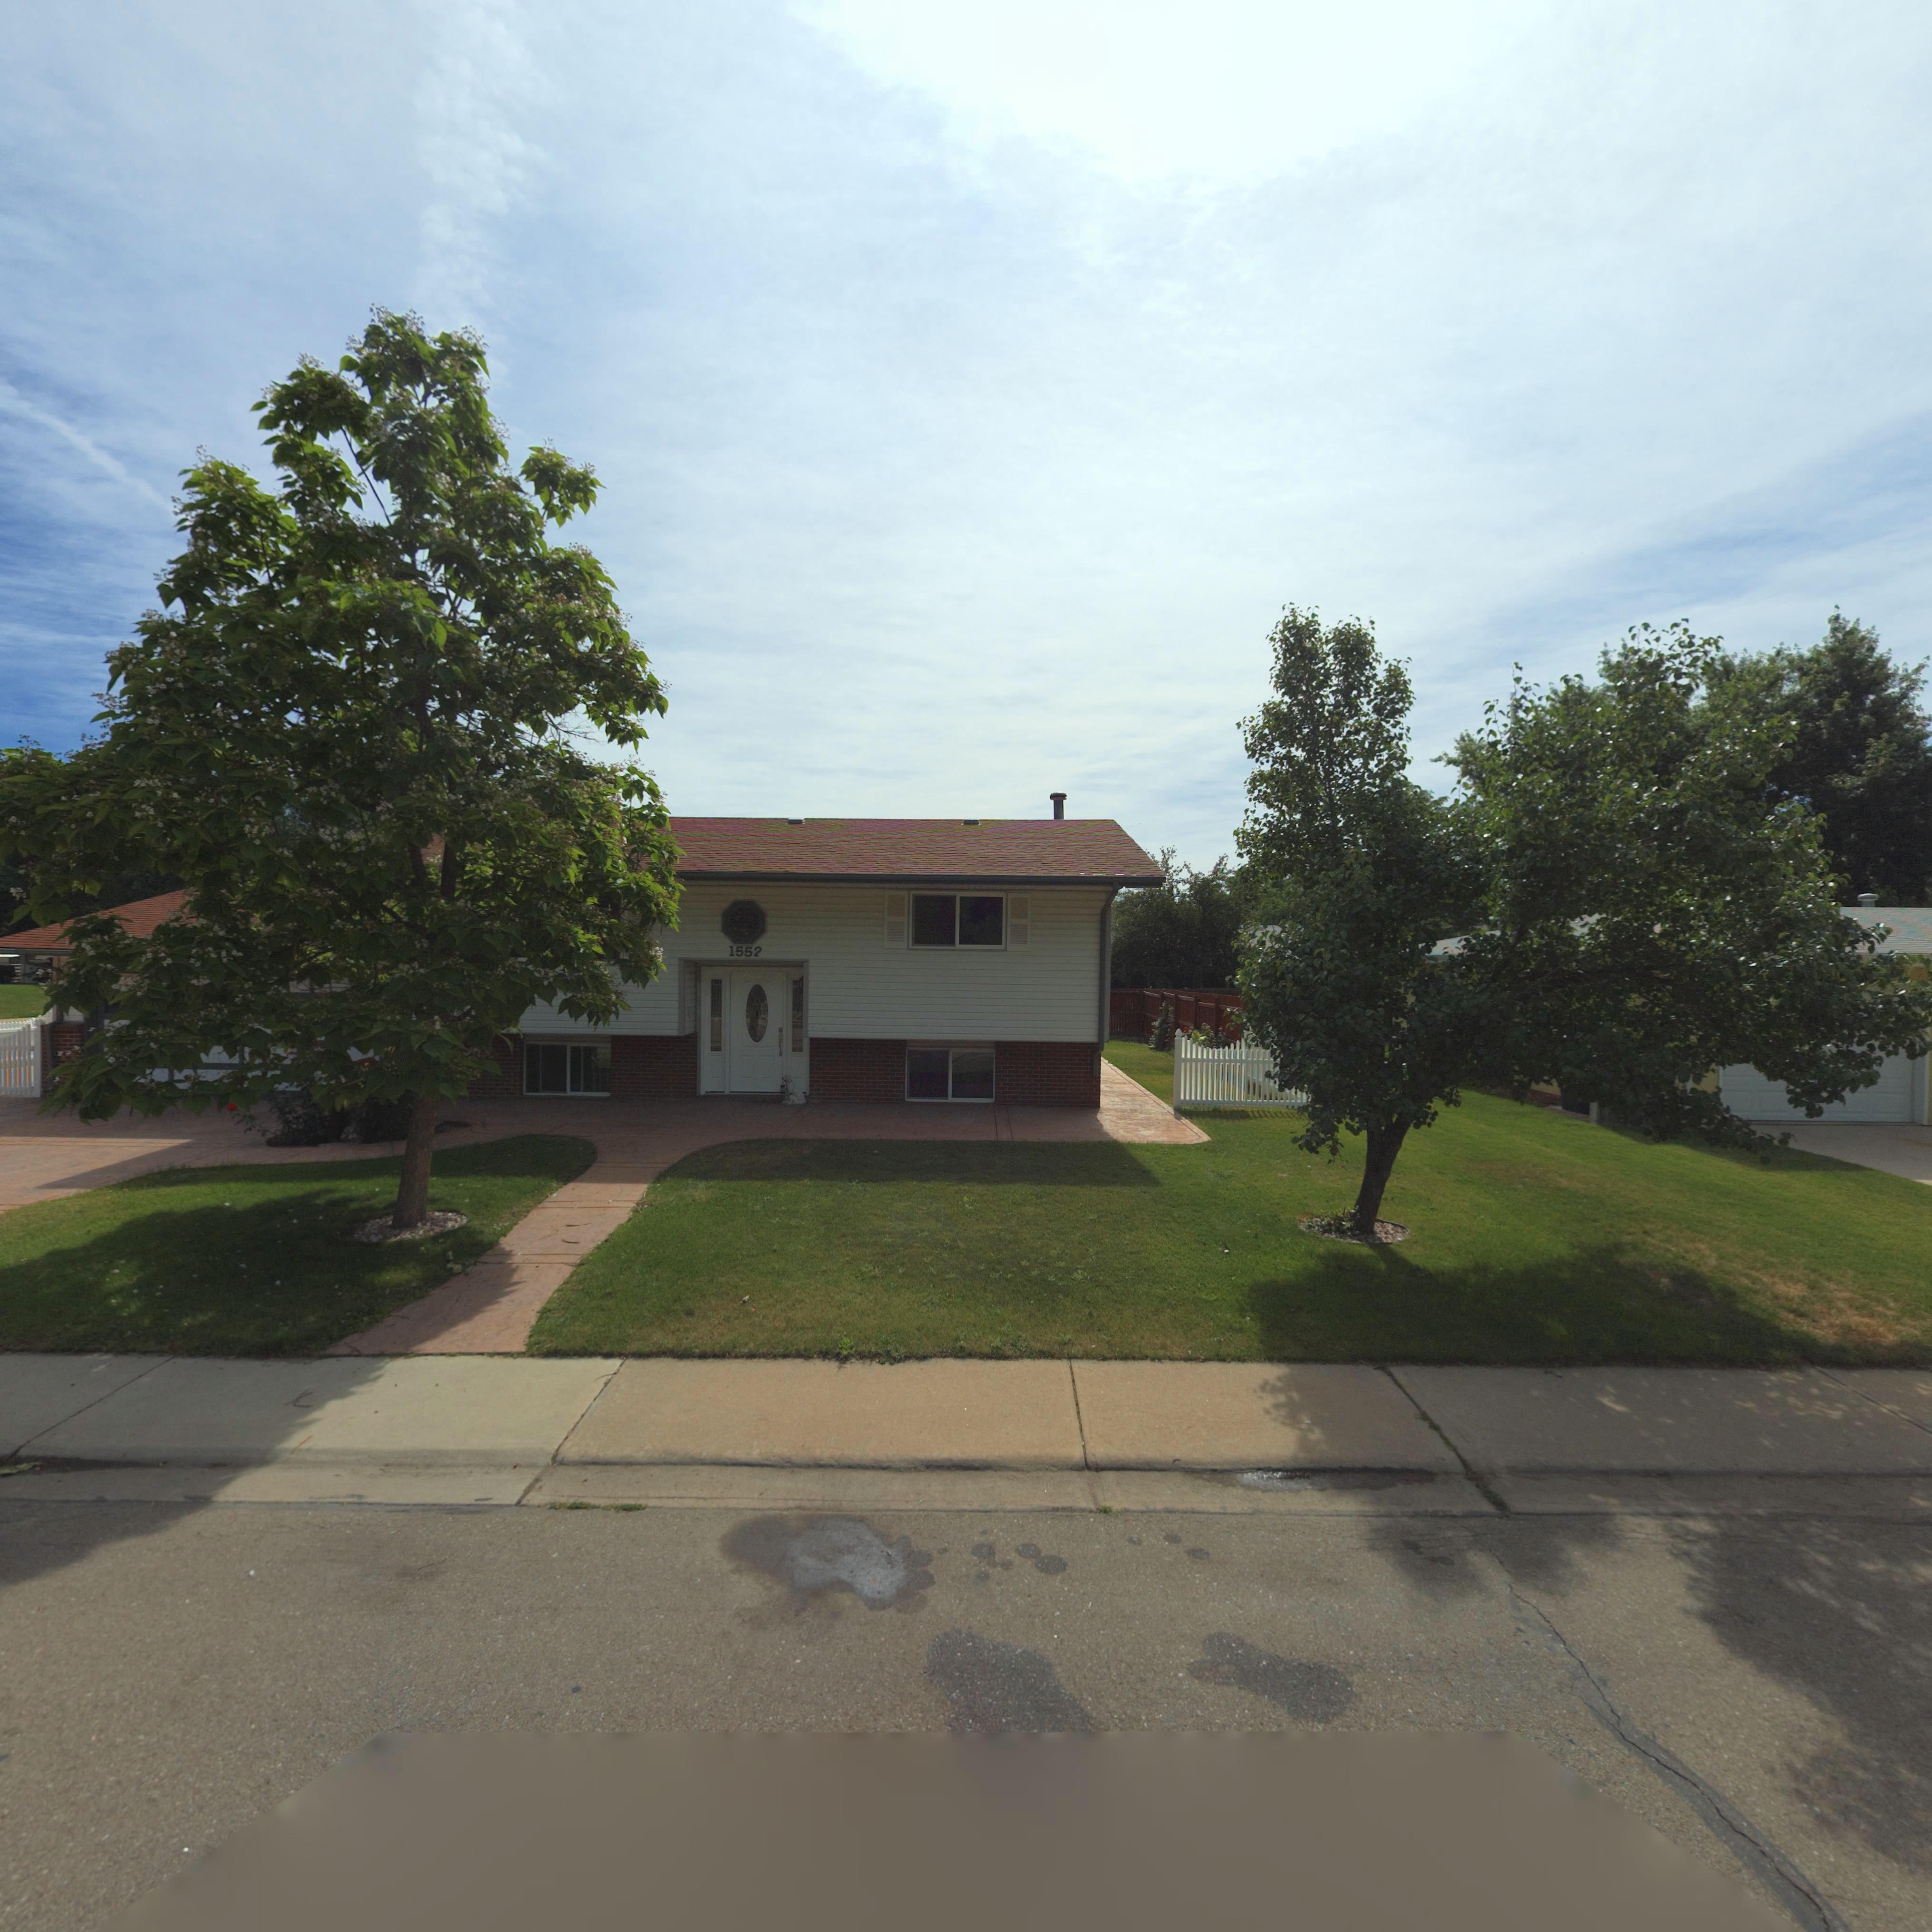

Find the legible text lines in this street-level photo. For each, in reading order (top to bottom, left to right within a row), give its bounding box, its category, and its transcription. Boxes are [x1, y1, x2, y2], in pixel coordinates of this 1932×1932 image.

[728, 945, 763, 957] StreetNumber: 115*